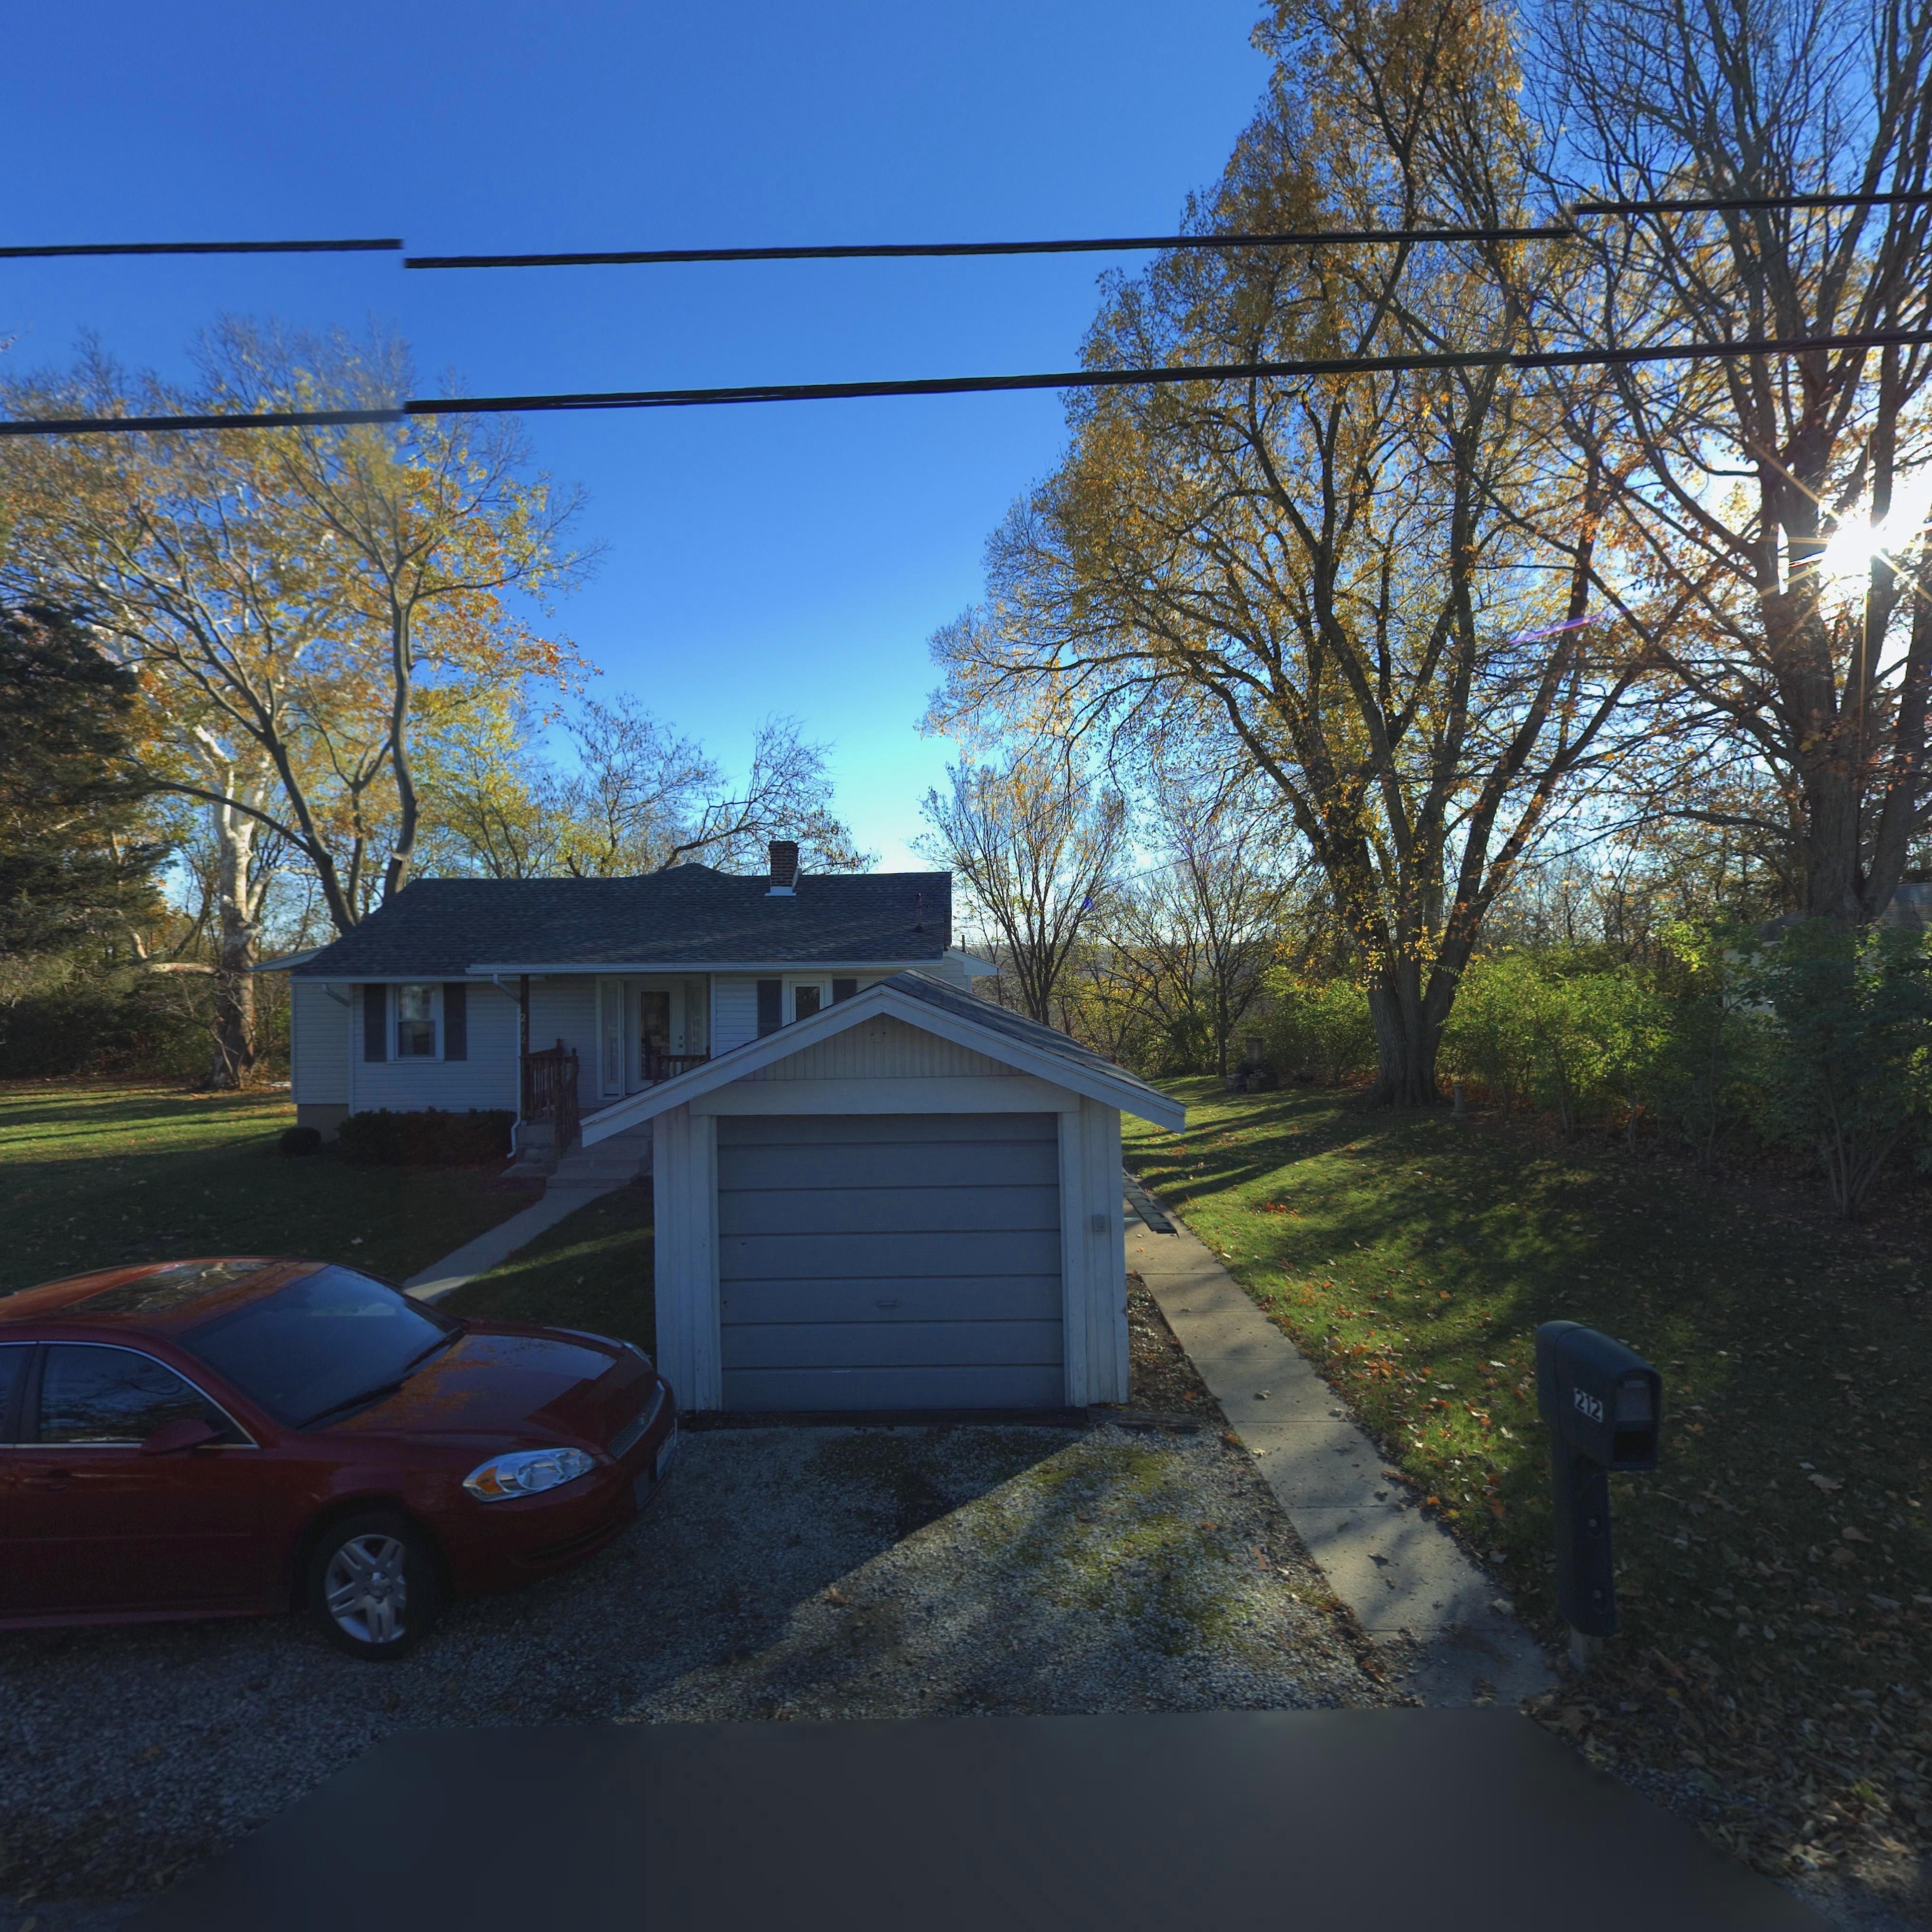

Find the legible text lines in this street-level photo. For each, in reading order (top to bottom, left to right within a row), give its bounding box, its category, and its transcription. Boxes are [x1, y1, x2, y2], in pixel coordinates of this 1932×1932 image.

[520, 1013, 527, 1044] StreetNumber: 212
[1575, 1389, 1601, 1421] StreetNumber: 212